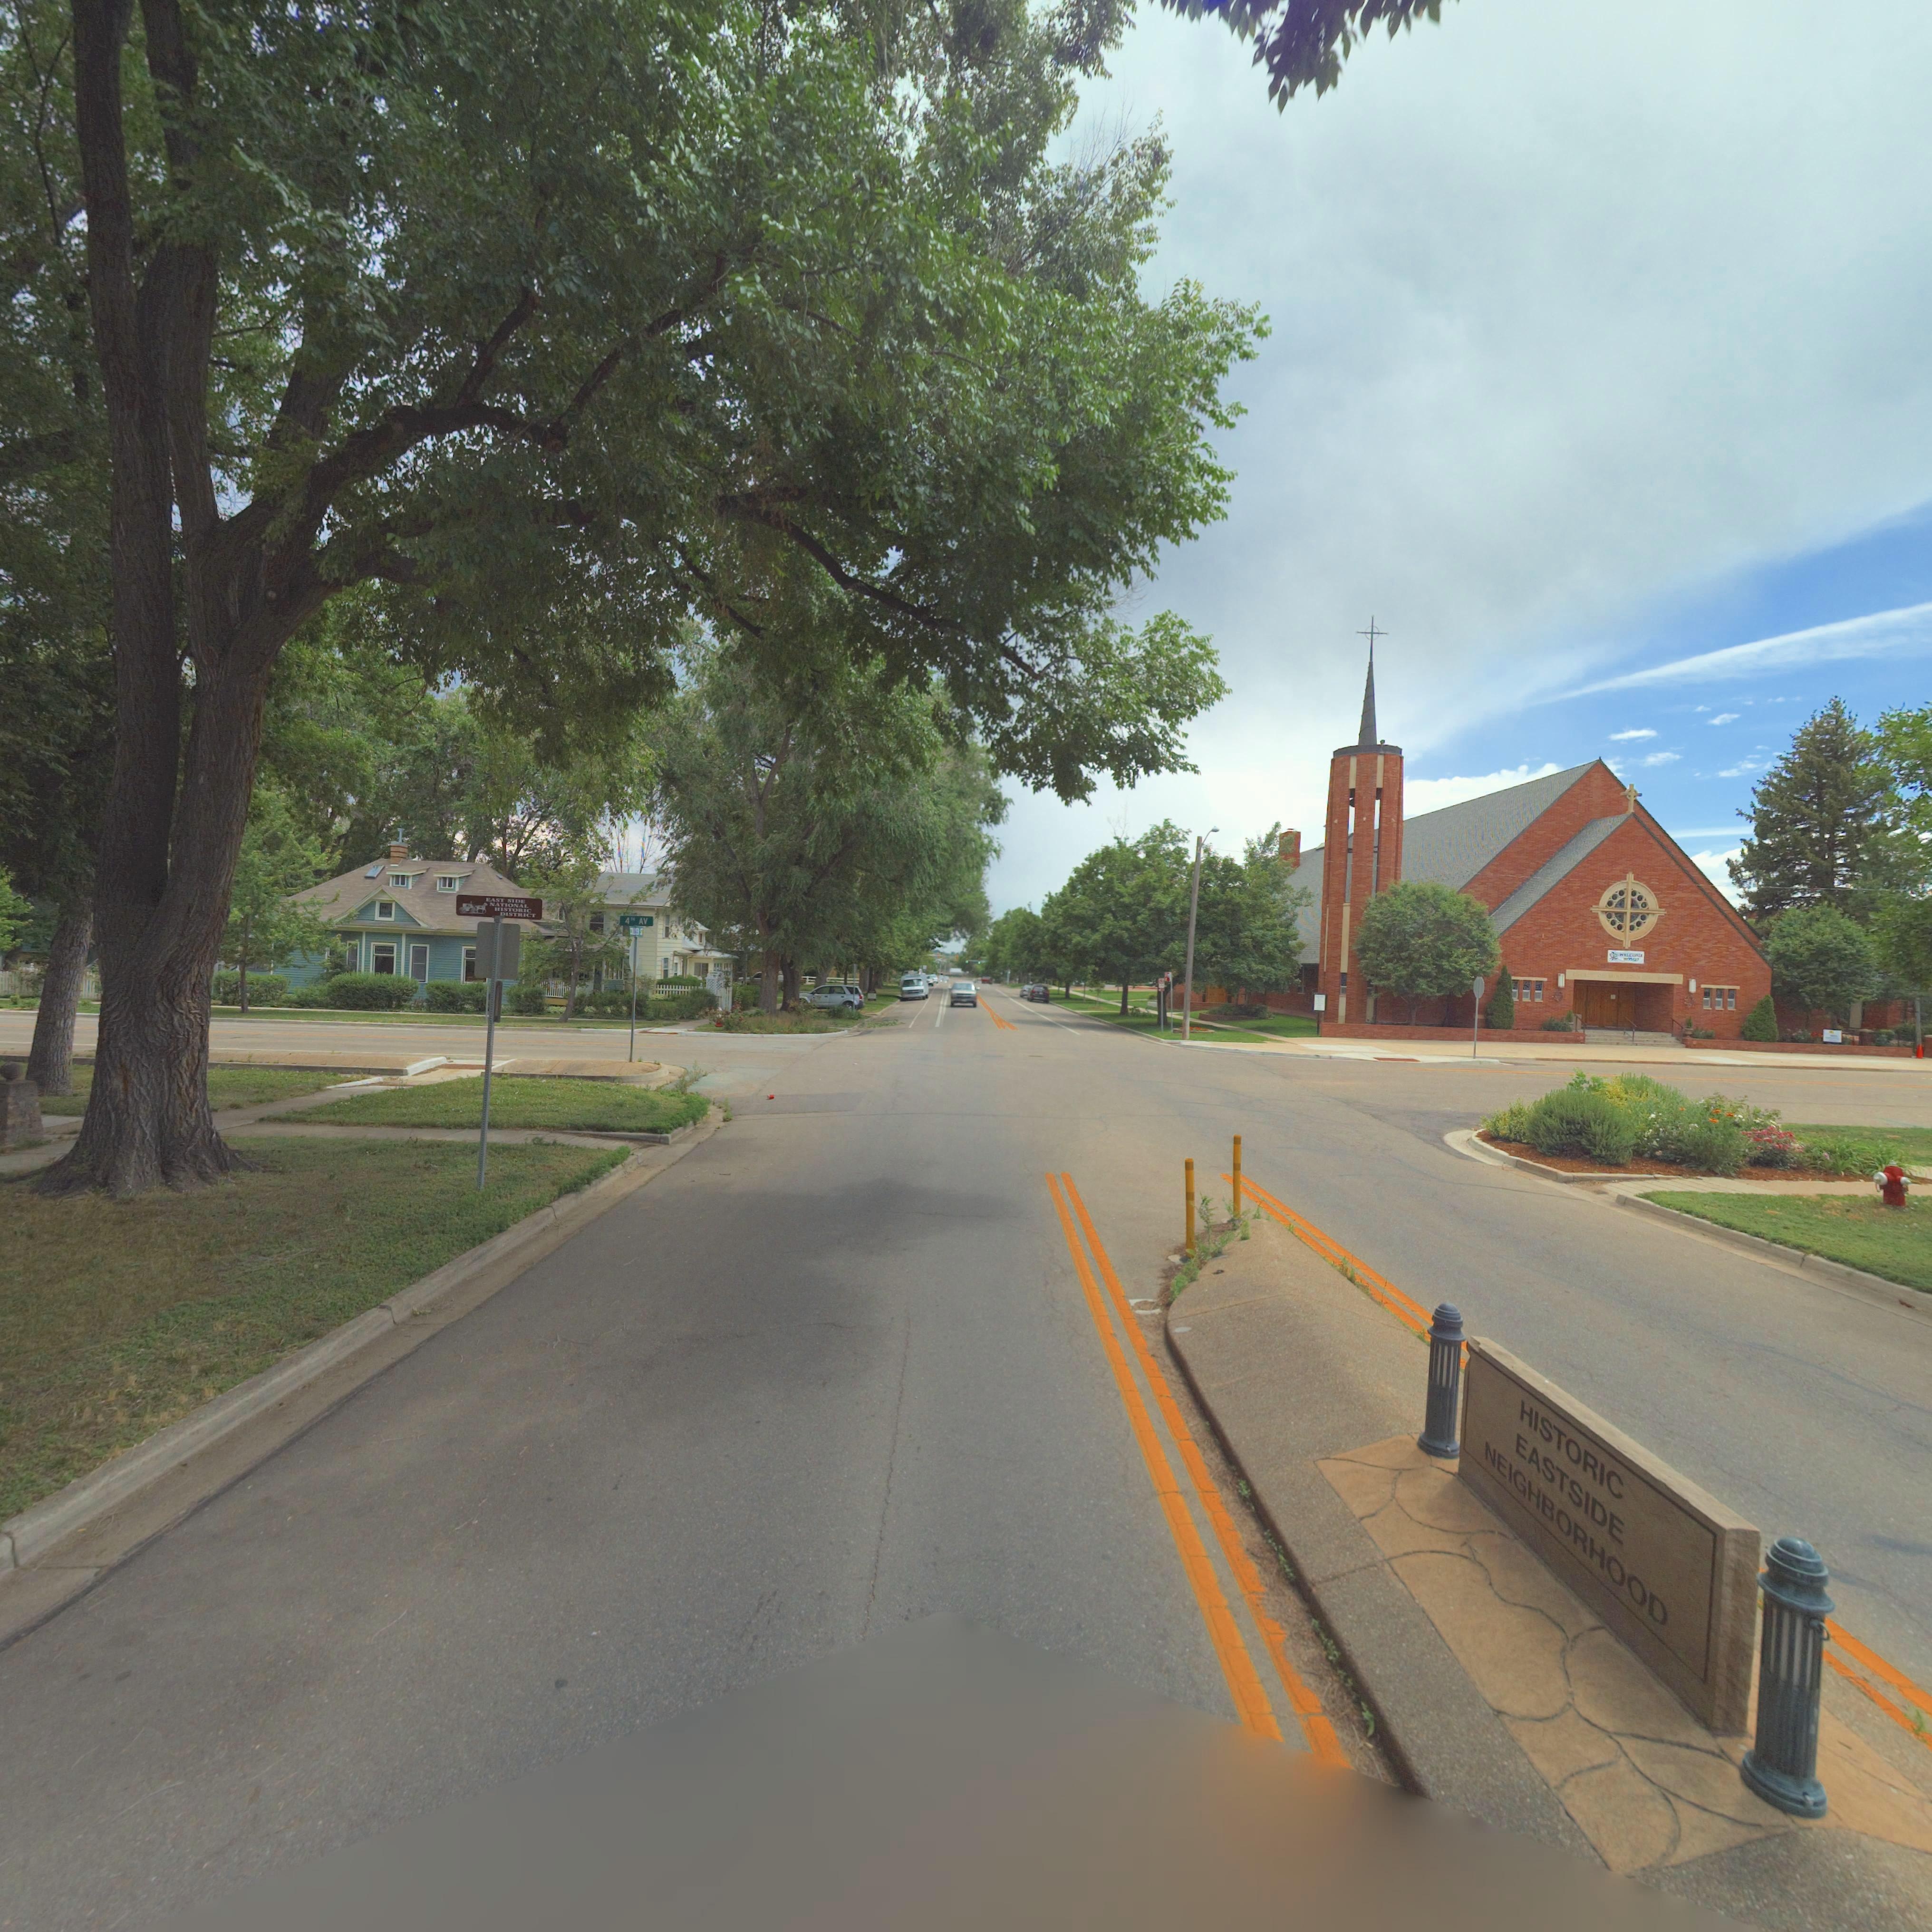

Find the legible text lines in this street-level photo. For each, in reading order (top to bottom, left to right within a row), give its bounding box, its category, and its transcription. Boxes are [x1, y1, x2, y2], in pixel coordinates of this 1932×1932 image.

[624, 917, 648, 925] StreetName: 4TH AV
[629, 927, 644, 935] StreetName: C****E* ST